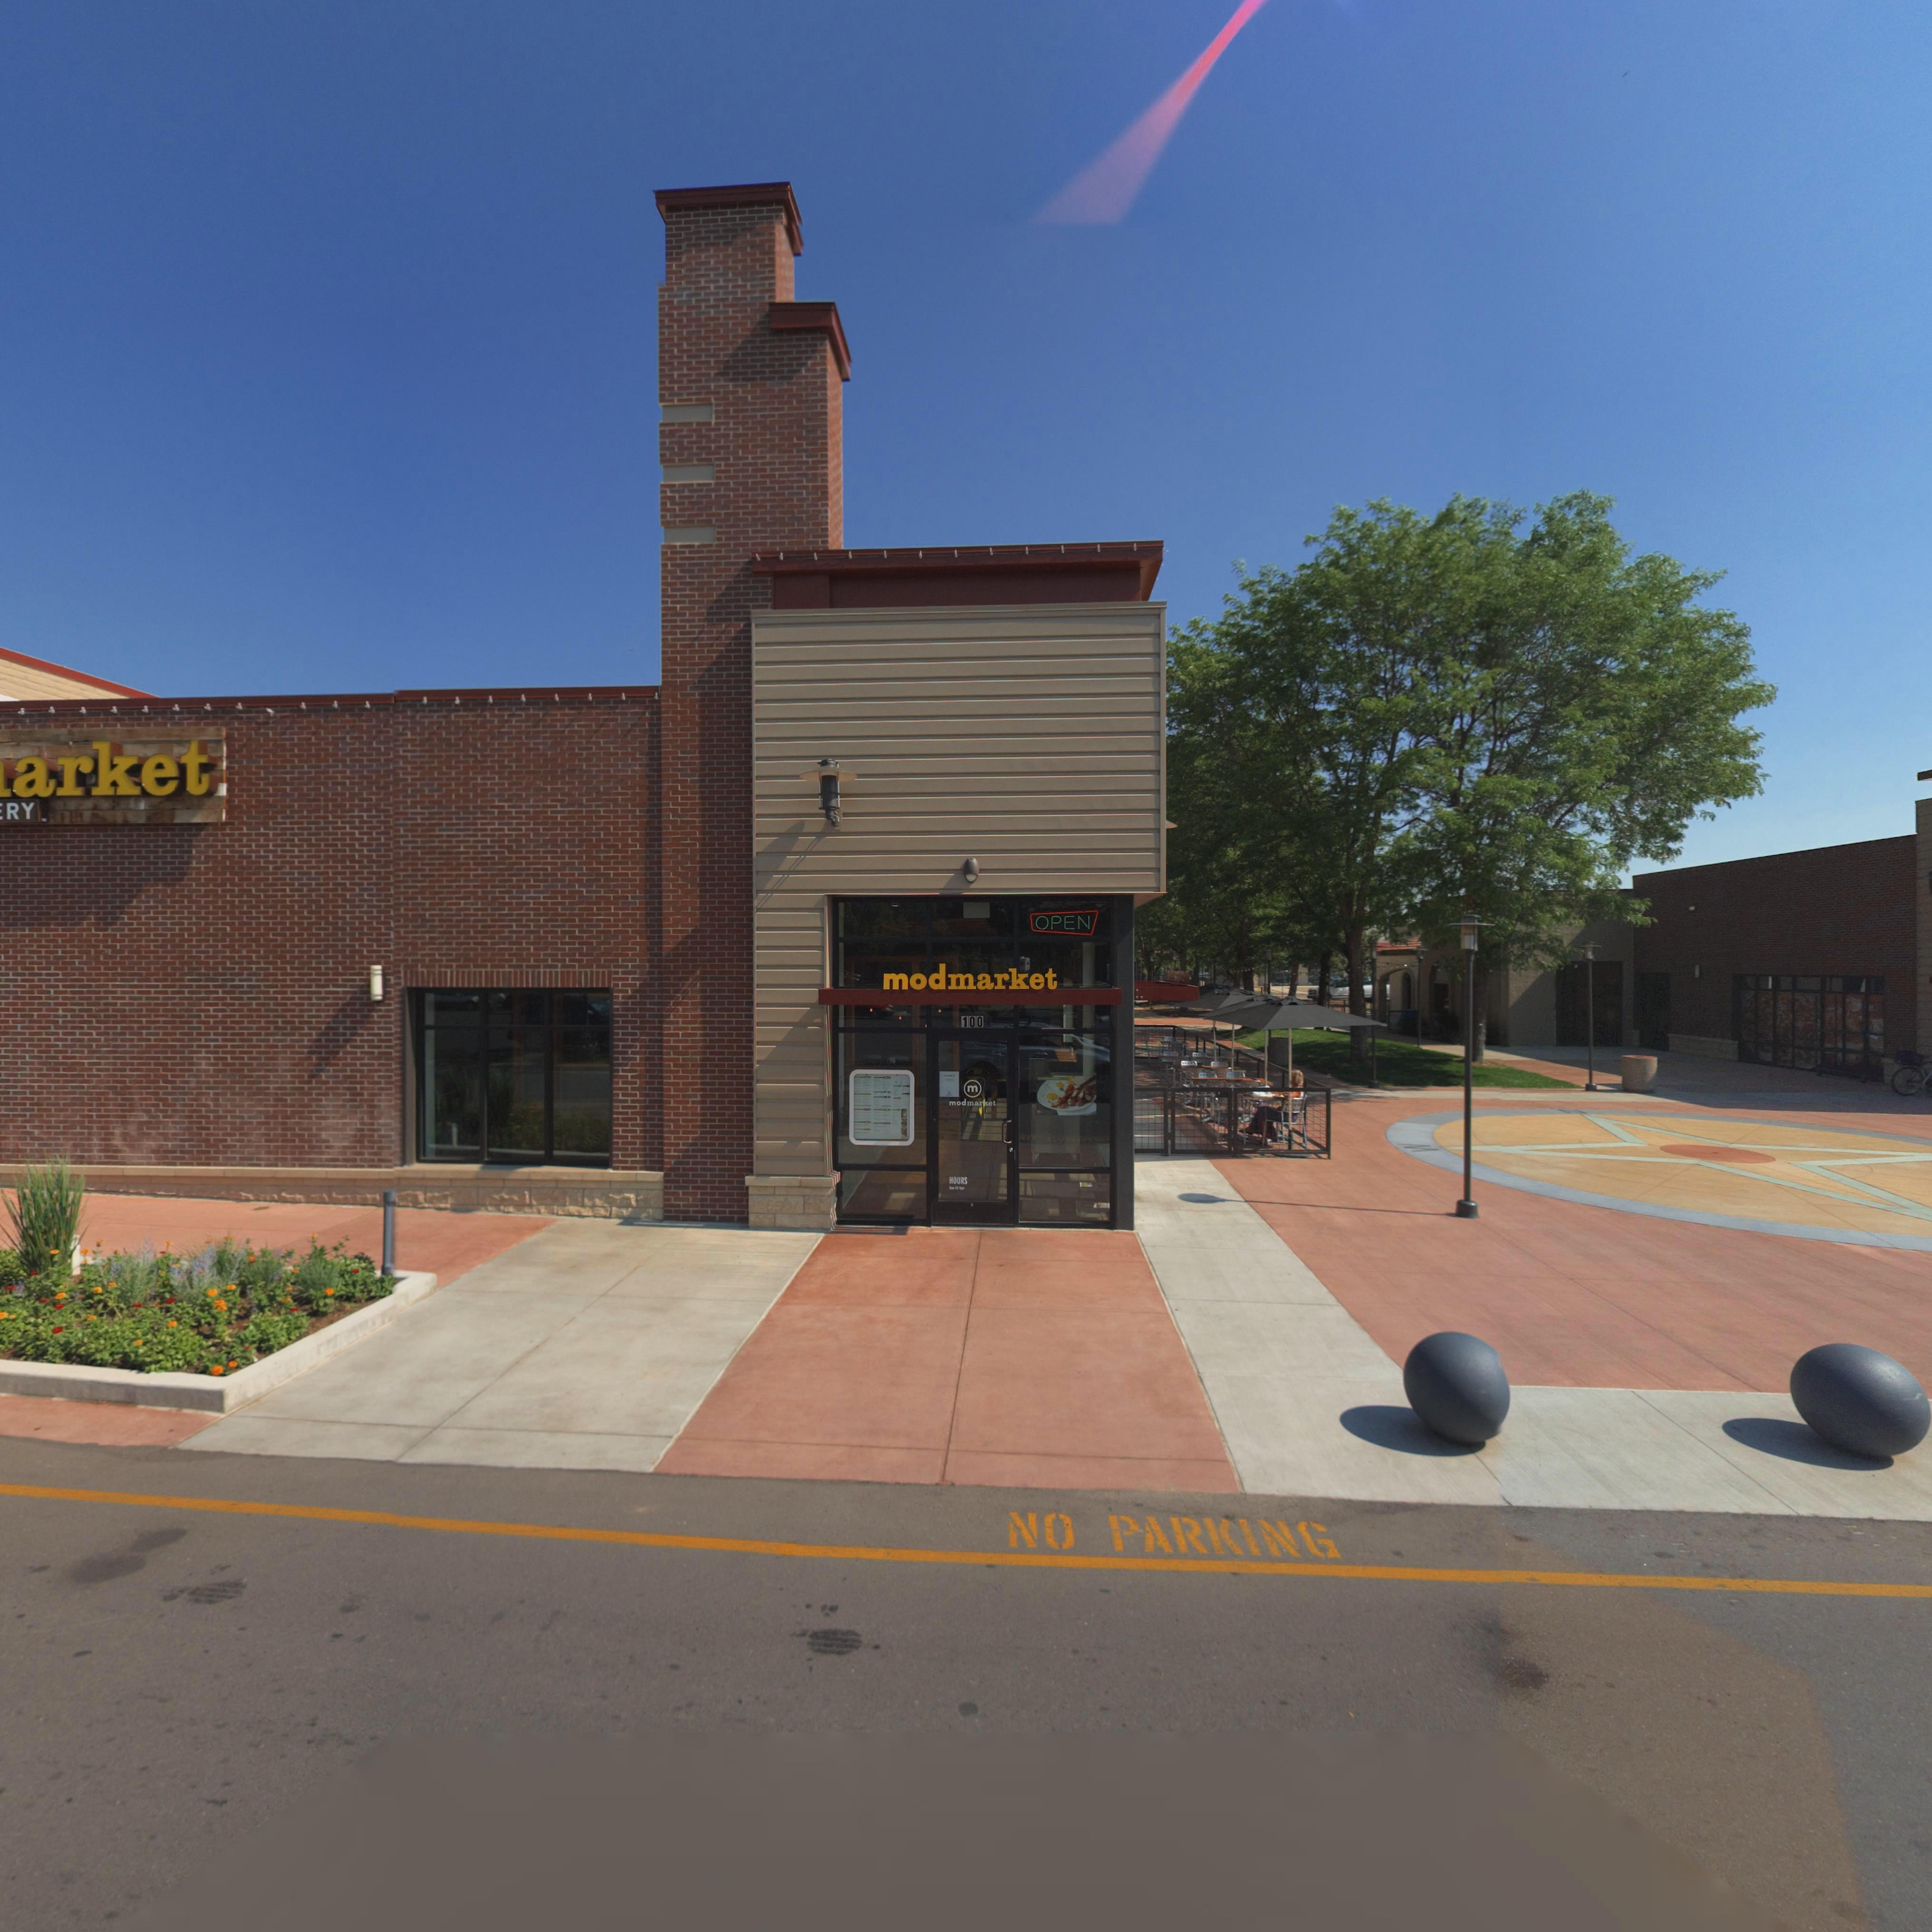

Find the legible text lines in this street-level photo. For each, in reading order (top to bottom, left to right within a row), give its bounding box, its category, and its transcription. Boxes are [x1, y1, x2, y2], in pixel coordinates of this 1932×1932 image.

[10, 738, 211, 799] BusinessName: arket
[5, 801, 36, 821] BusinessName: RY
[882, 962, 1058, 990] BusinessName: modmarket
[962, 1016, 983, 1028] StreetNumber: 100
[967, 1085, 978, 1092] BusinessName: m
[948, 1098, 996, 1106] BusinessName: modmarket